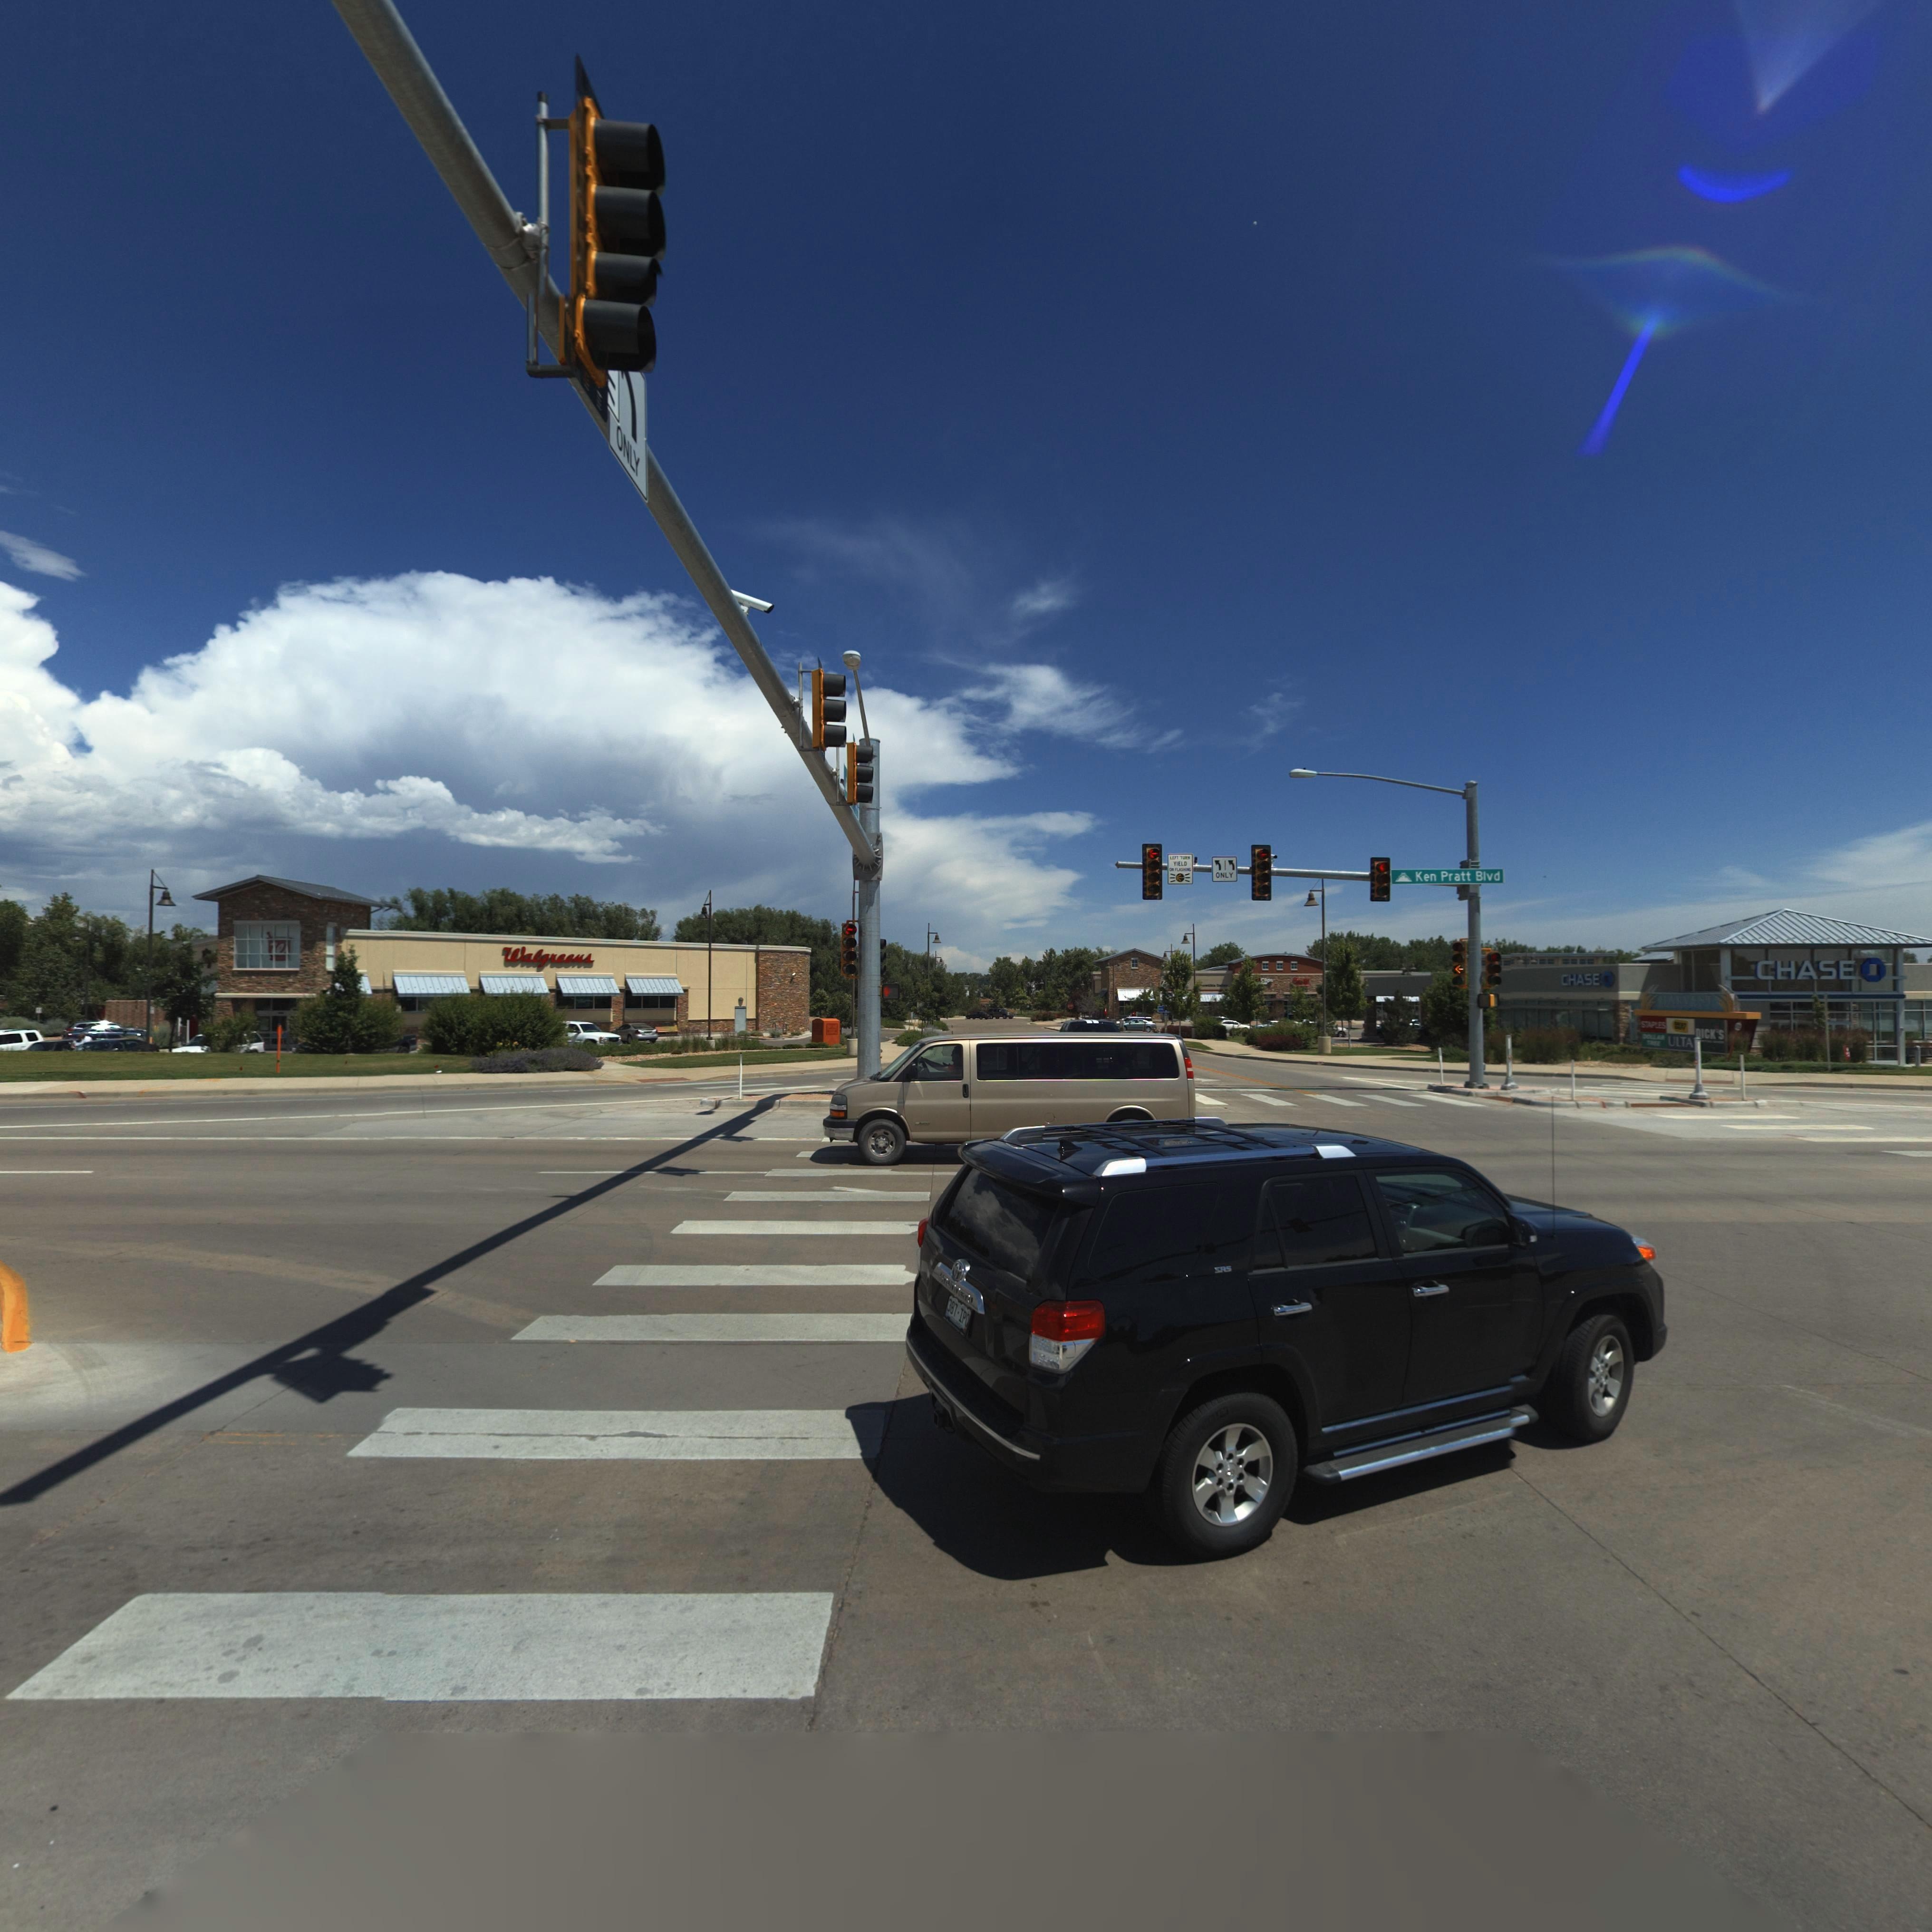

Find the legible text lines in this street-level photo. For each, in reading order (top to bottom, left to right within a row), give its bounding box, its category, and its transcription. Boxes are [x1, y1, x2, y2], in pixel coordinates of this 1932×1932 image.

[1415, 871, 1500, 881] StreetName: Ken Pratt Blvd
[503, 946, 595, 968] BusinessName: Walgreens
[1756, 960, 1855, 980] BusinessName: CHASE
[1561, 972, 1600, 986] BusinessName: CHASE
[1641, 1021, 1666, 1029] BusinessName: STAPLES
[1674, 1025, 1685, 1031] BusinessName: BUY
[1674, 1021, 1687, 1027] BusinessName: BEST
[1646, 1040, 1660, 1046] BusinessName: TREE
[1642, 1034, 1665, 1040] BusinessName: DOLLAR
[1668, 1036, 1694, 1047] BusinessName: ULTA
[1695, 1028, 1724, 1040] BusinessName: *ICK'S